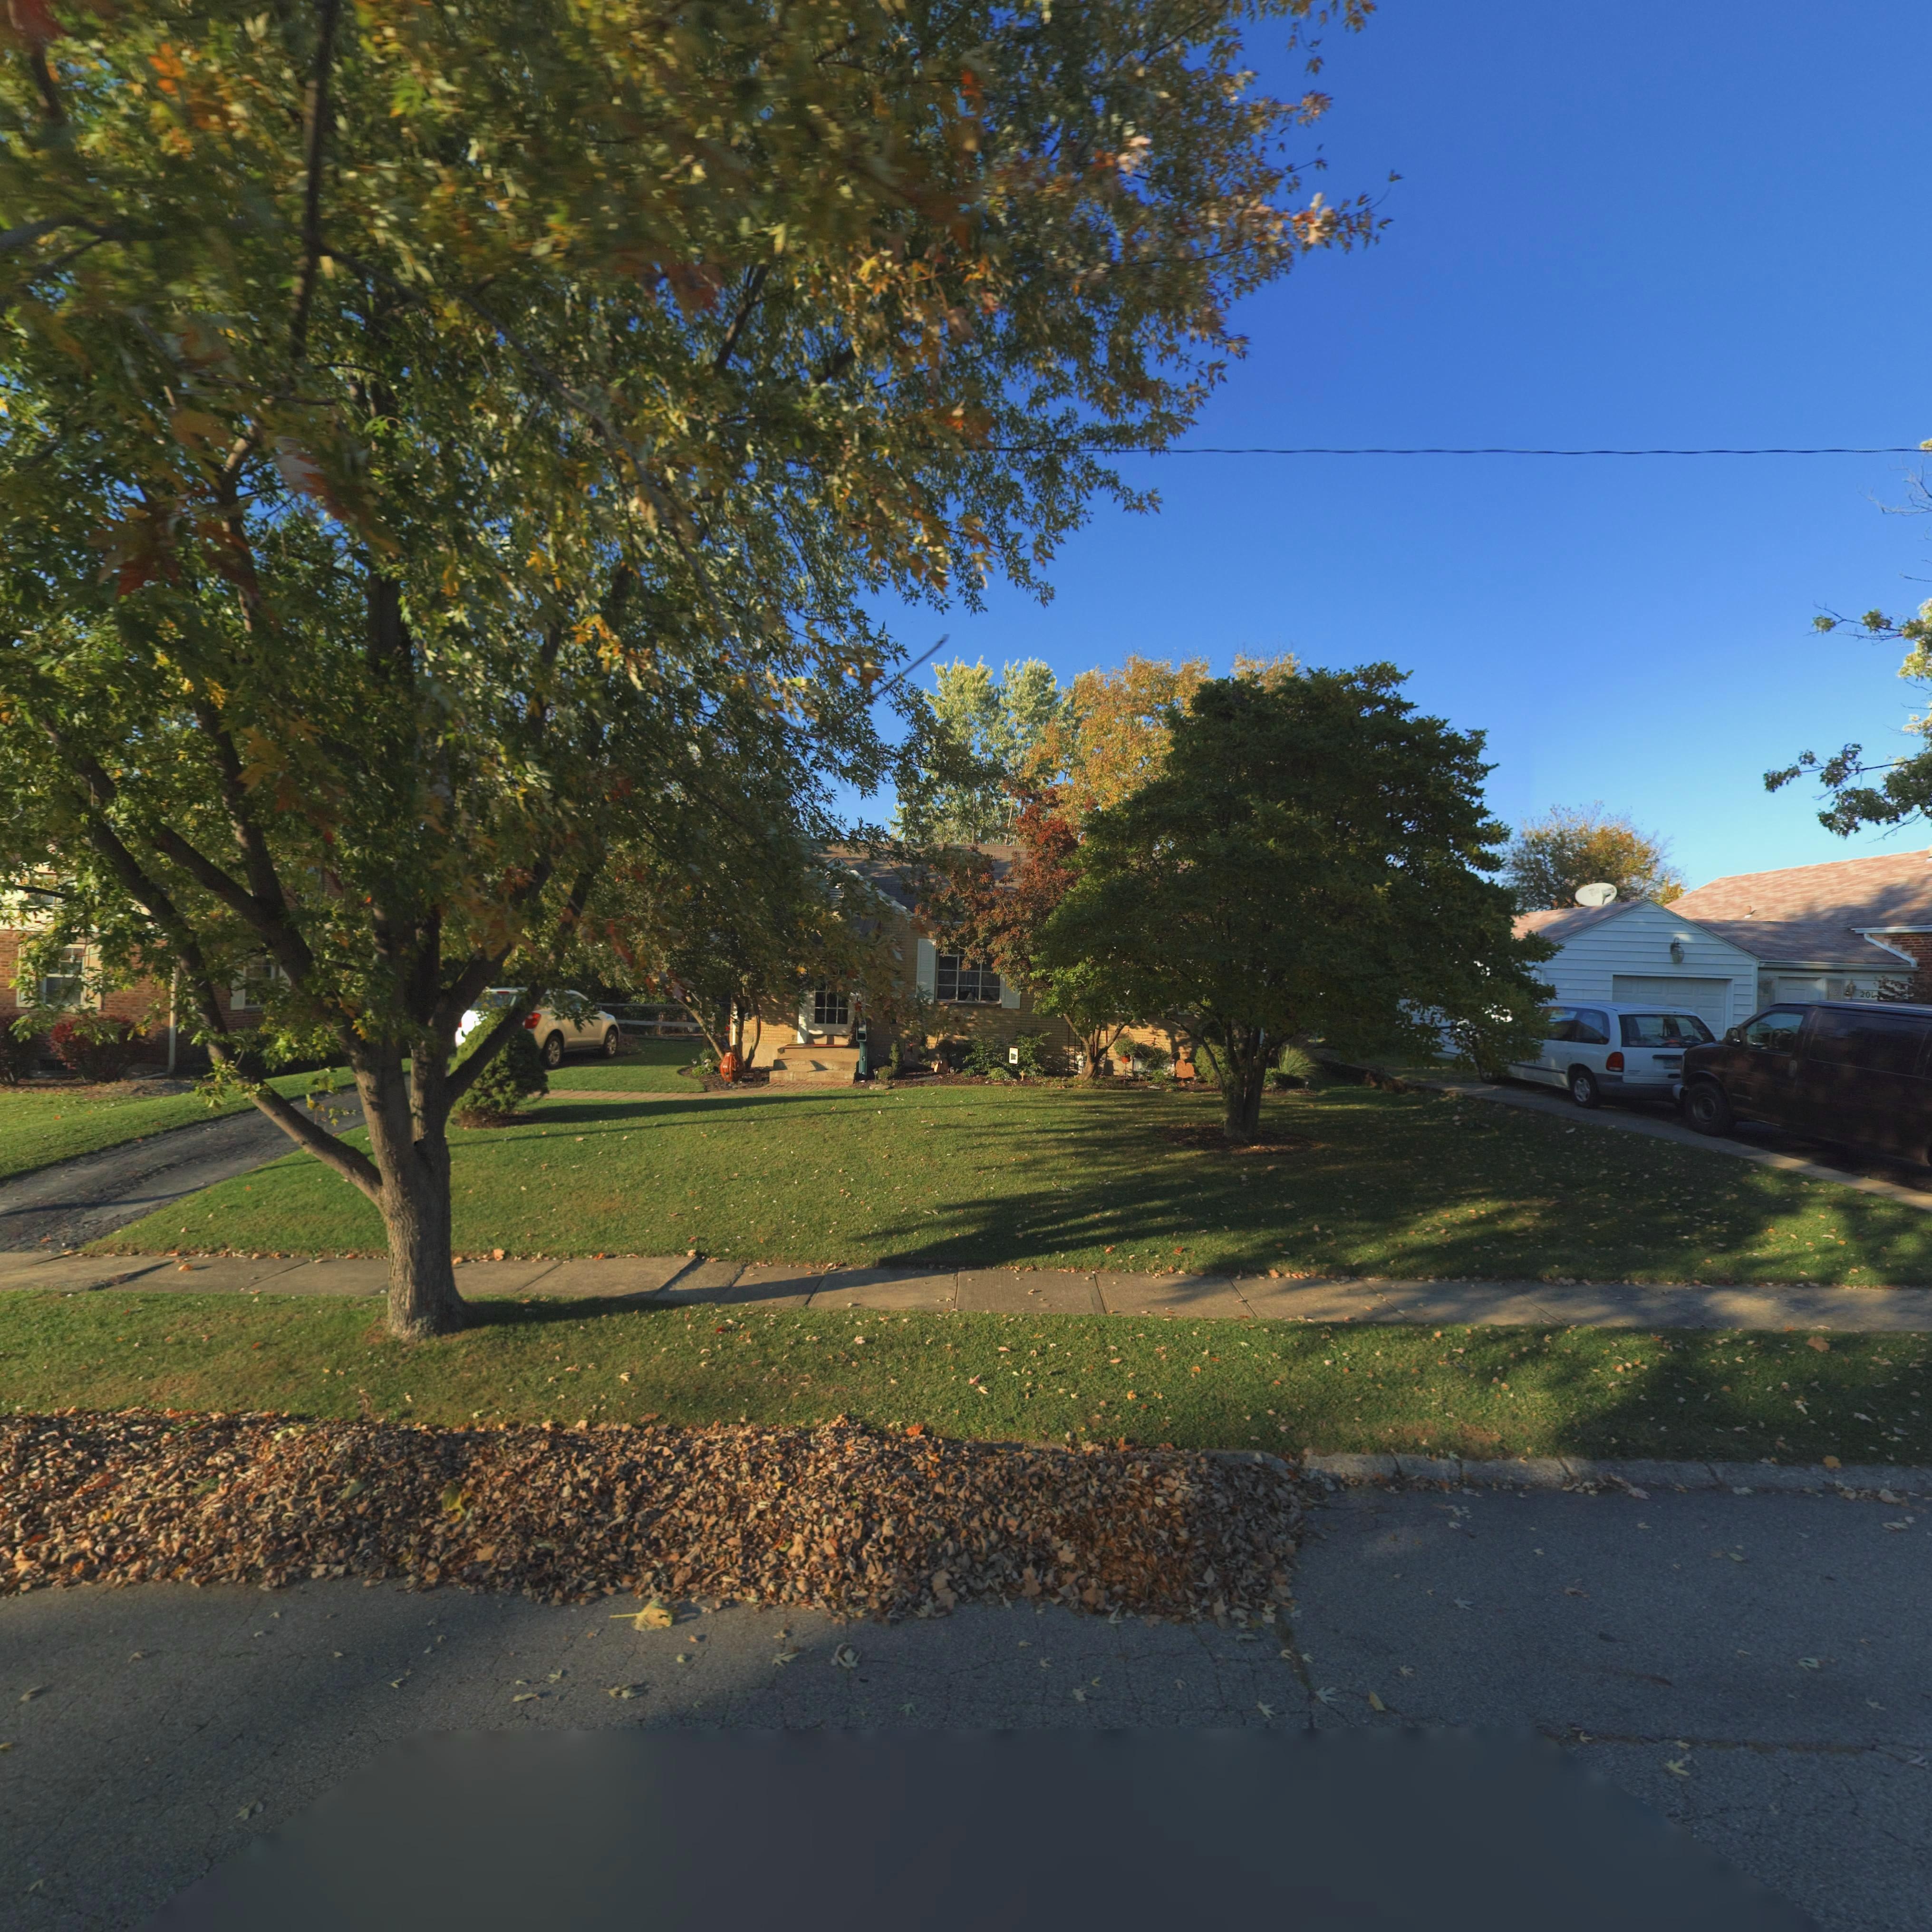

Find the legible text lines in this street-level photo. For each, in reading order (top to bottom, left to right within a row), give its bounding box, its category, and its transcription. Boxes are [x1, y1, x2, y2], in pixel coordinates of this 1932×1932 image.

[1859, 990, 1875, 999] StreetNumber: 20*